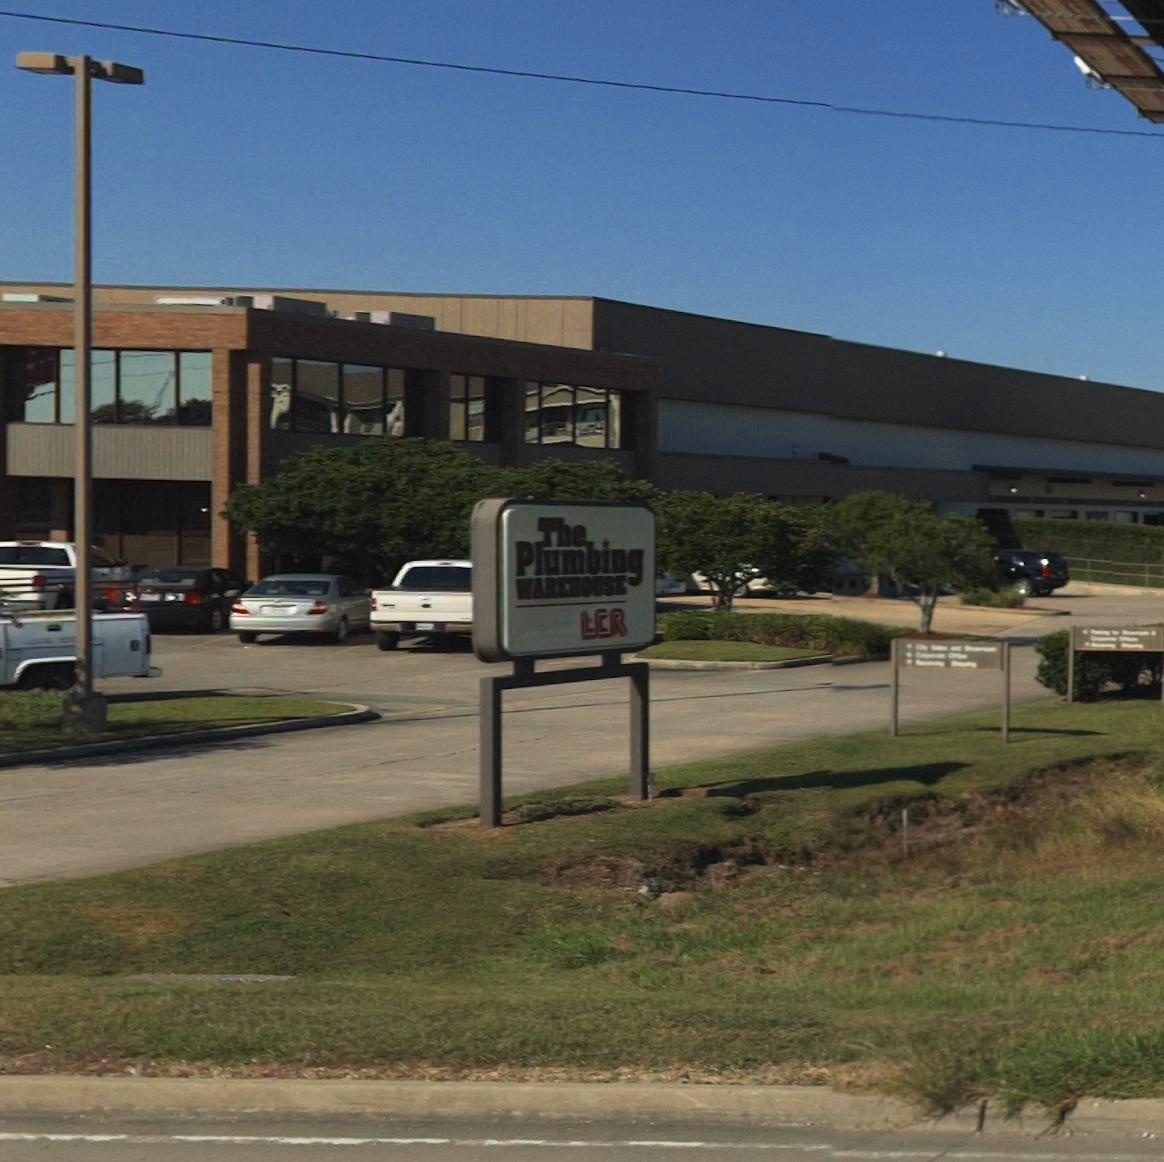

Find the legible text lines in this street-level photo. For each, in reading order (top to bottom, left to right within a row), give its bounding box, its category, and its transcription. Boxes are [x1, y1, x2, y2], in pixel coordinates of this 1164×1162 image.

[533, 514, 589, 549] BusinessName: The
[512, 534, 646, 590] BusinessName: Plumbing
[511, 572, 631, 603] BusinessName: WAREHOUSE
[576, 604, 631, 644] StreetNumber: LCR